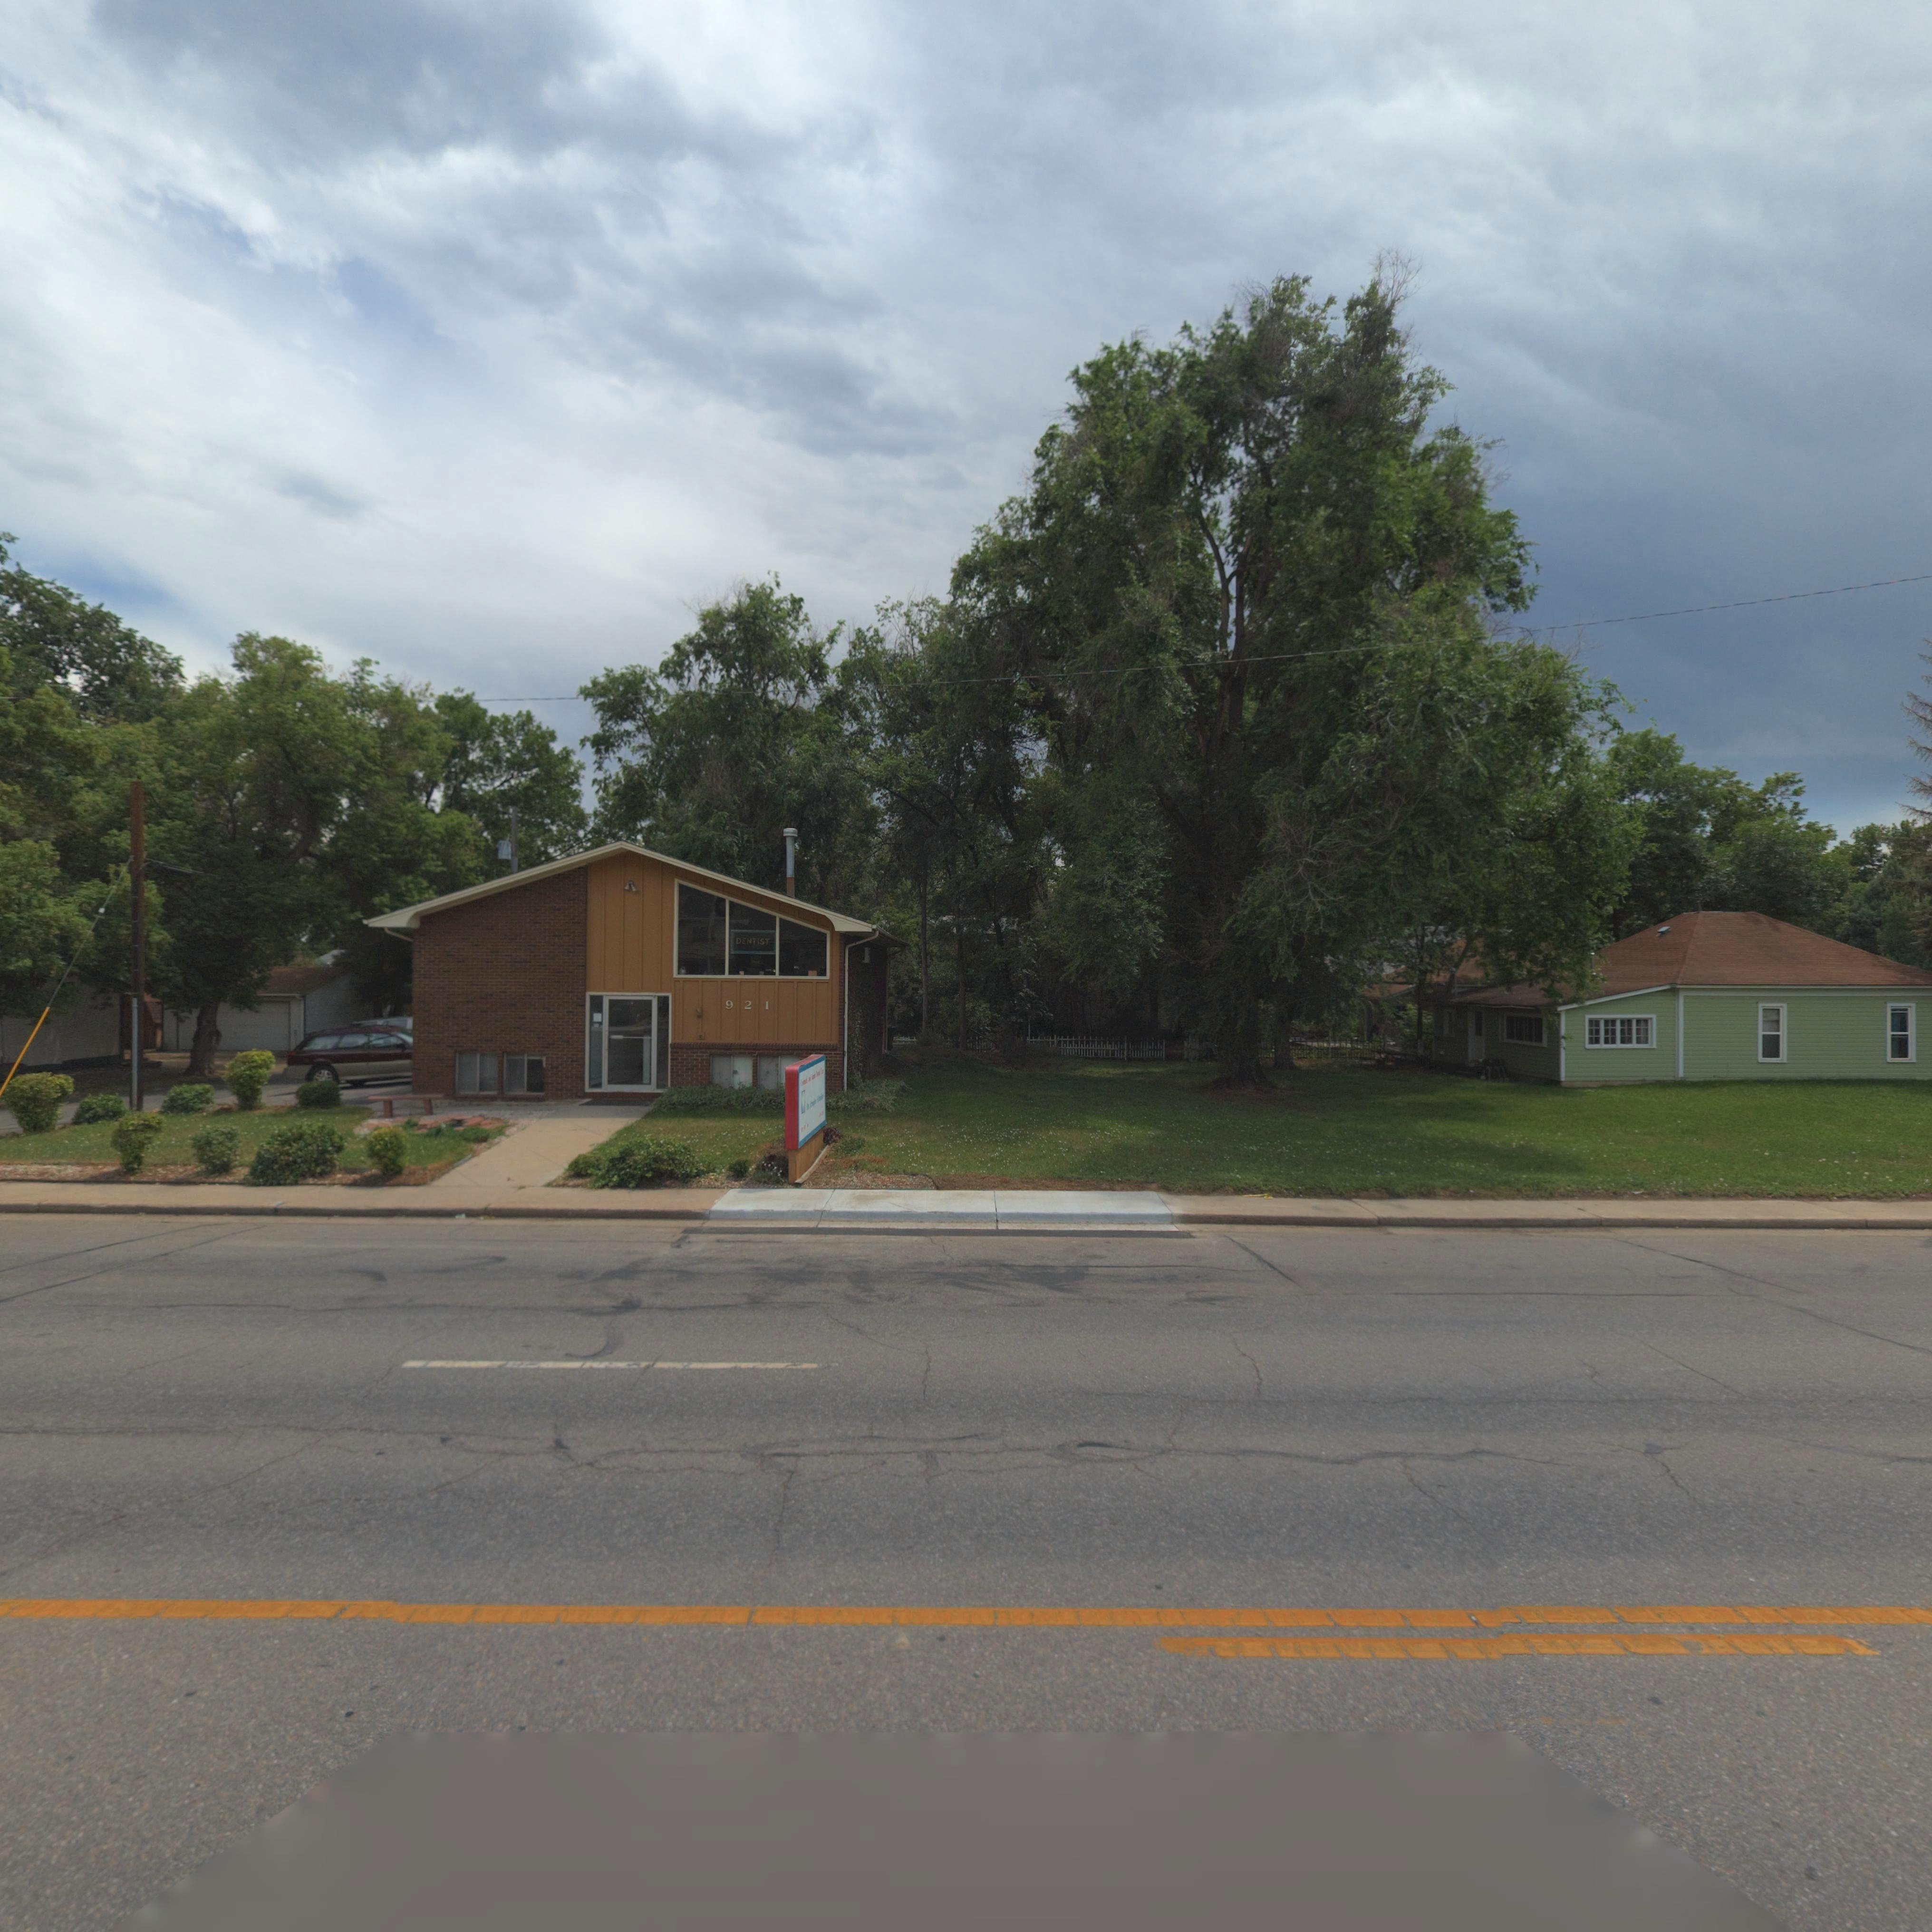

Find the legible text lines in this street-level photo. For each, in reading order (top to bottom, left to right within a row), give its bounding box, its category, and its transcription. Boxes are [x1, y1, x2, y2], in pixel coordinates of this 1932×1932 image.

[725, 1000, 769, 1010] StreetNumber: 921
[800, 1067, 824, 1086] BusinessName: Cosmetic and Family Dental Care